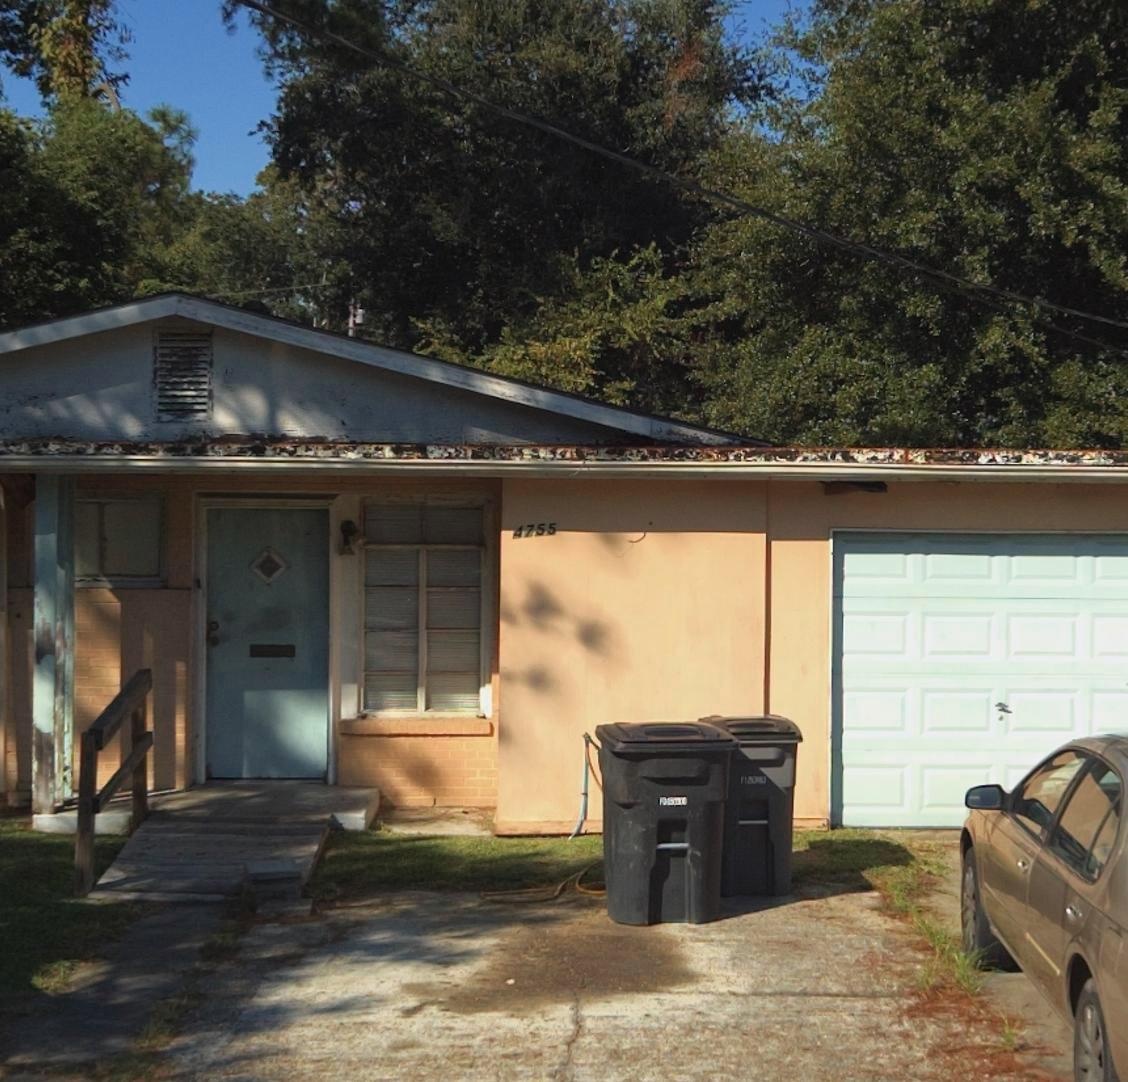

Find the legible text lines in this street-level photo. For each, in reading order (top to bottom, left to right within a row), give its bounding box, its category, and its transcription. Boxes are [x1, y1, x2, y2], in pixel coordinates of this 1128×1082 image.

[512, 522, 557, 539] StreetNumber: 4755